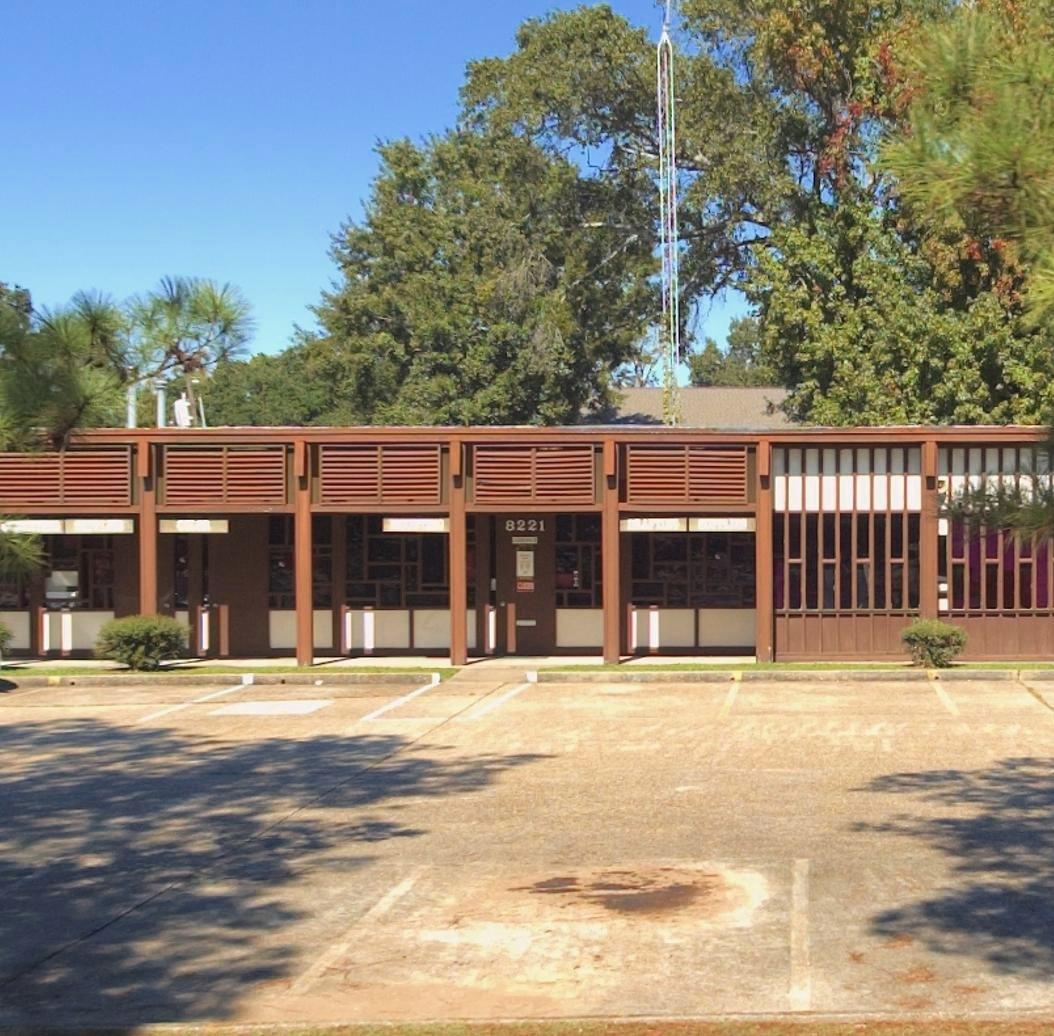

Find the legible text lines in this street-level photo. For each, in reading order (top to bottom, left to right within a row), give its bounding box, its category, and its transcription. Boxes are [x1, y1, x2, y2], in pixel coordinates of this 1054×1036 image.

[502, 517, 548, 533] StreetNumber: 8221